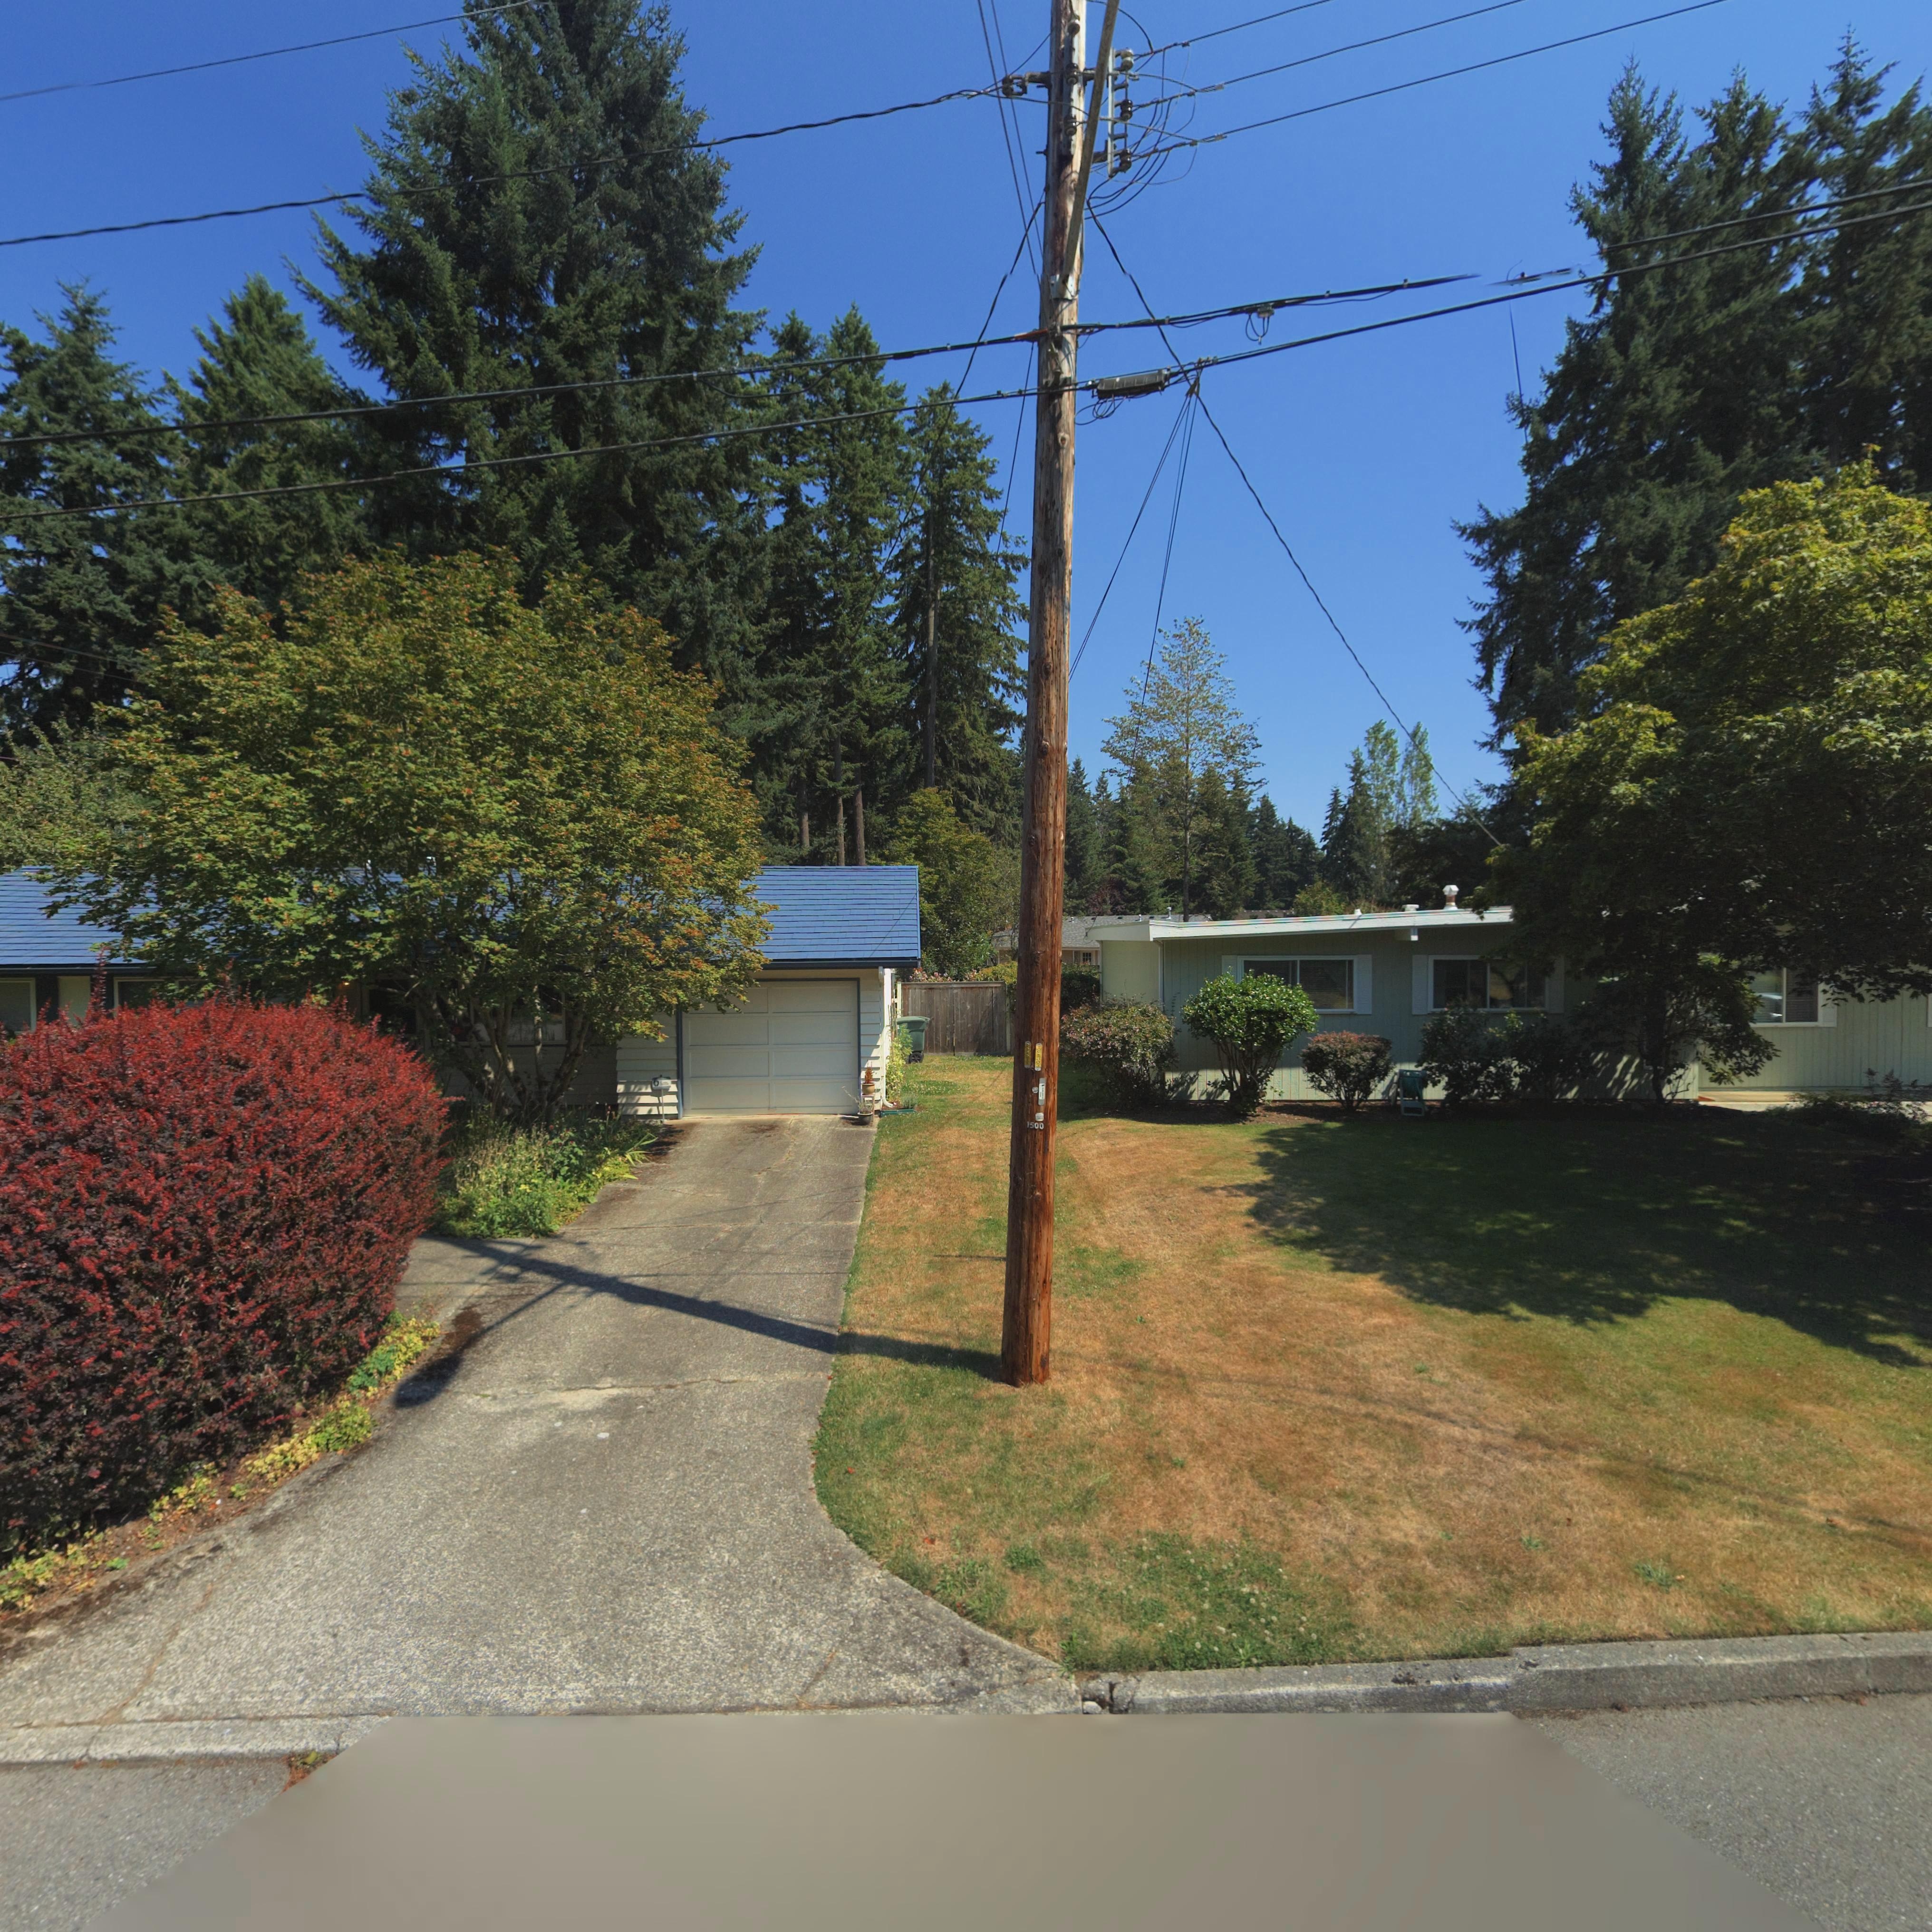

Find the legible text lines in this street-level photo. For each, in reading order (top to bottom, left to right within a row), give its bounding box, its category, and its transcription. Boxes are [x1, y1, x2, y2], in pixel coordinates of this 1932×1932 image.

[1027, 1121, 1044, 1130] StreetNumber: 1500